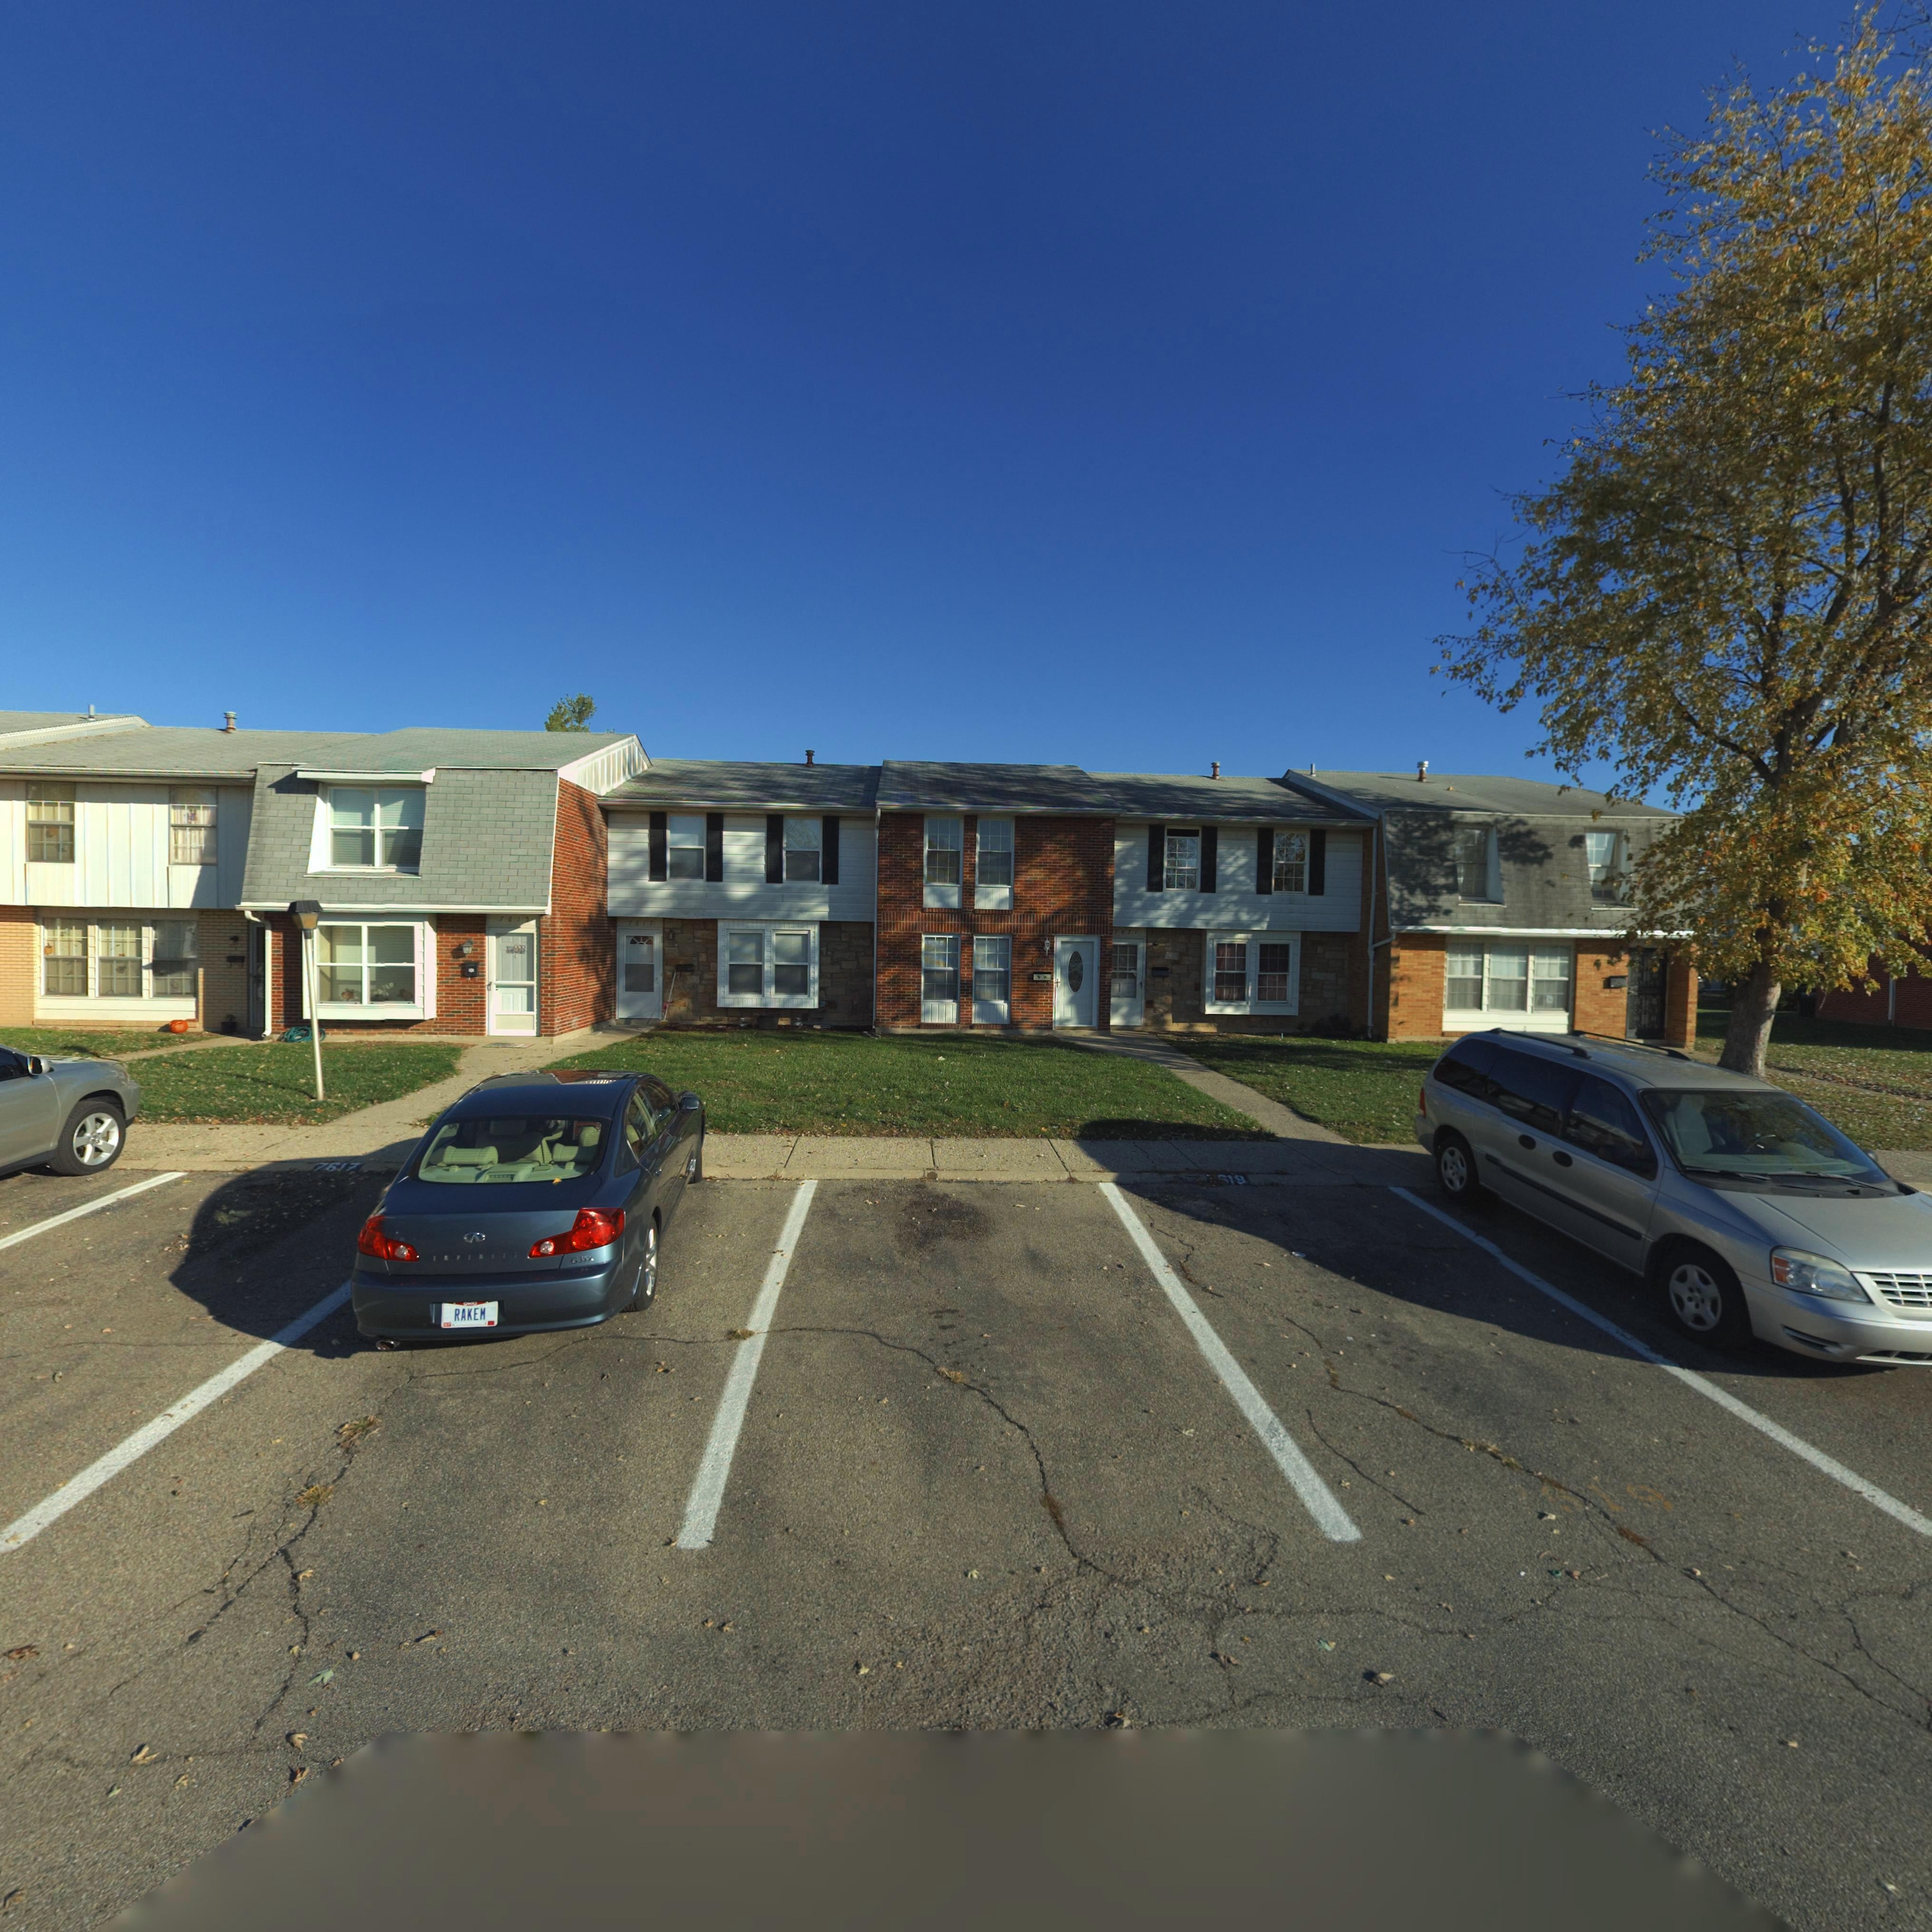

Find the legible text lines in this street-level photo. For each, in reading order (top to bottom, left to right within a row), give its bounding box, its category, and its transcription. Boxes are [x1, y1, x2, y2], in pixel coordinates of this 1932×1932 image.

[499, 915, 530, 923] StreetNumber: 7615
[628, 920, 654, 927] StreetNumber: 7617
[1114, 929, 1138, 935] StreetNumber: 7621
[1034, 958, 1051, 965] StreetNumber: 7619
[1227, 1174, 1247, 1186] StreetNumber: 19